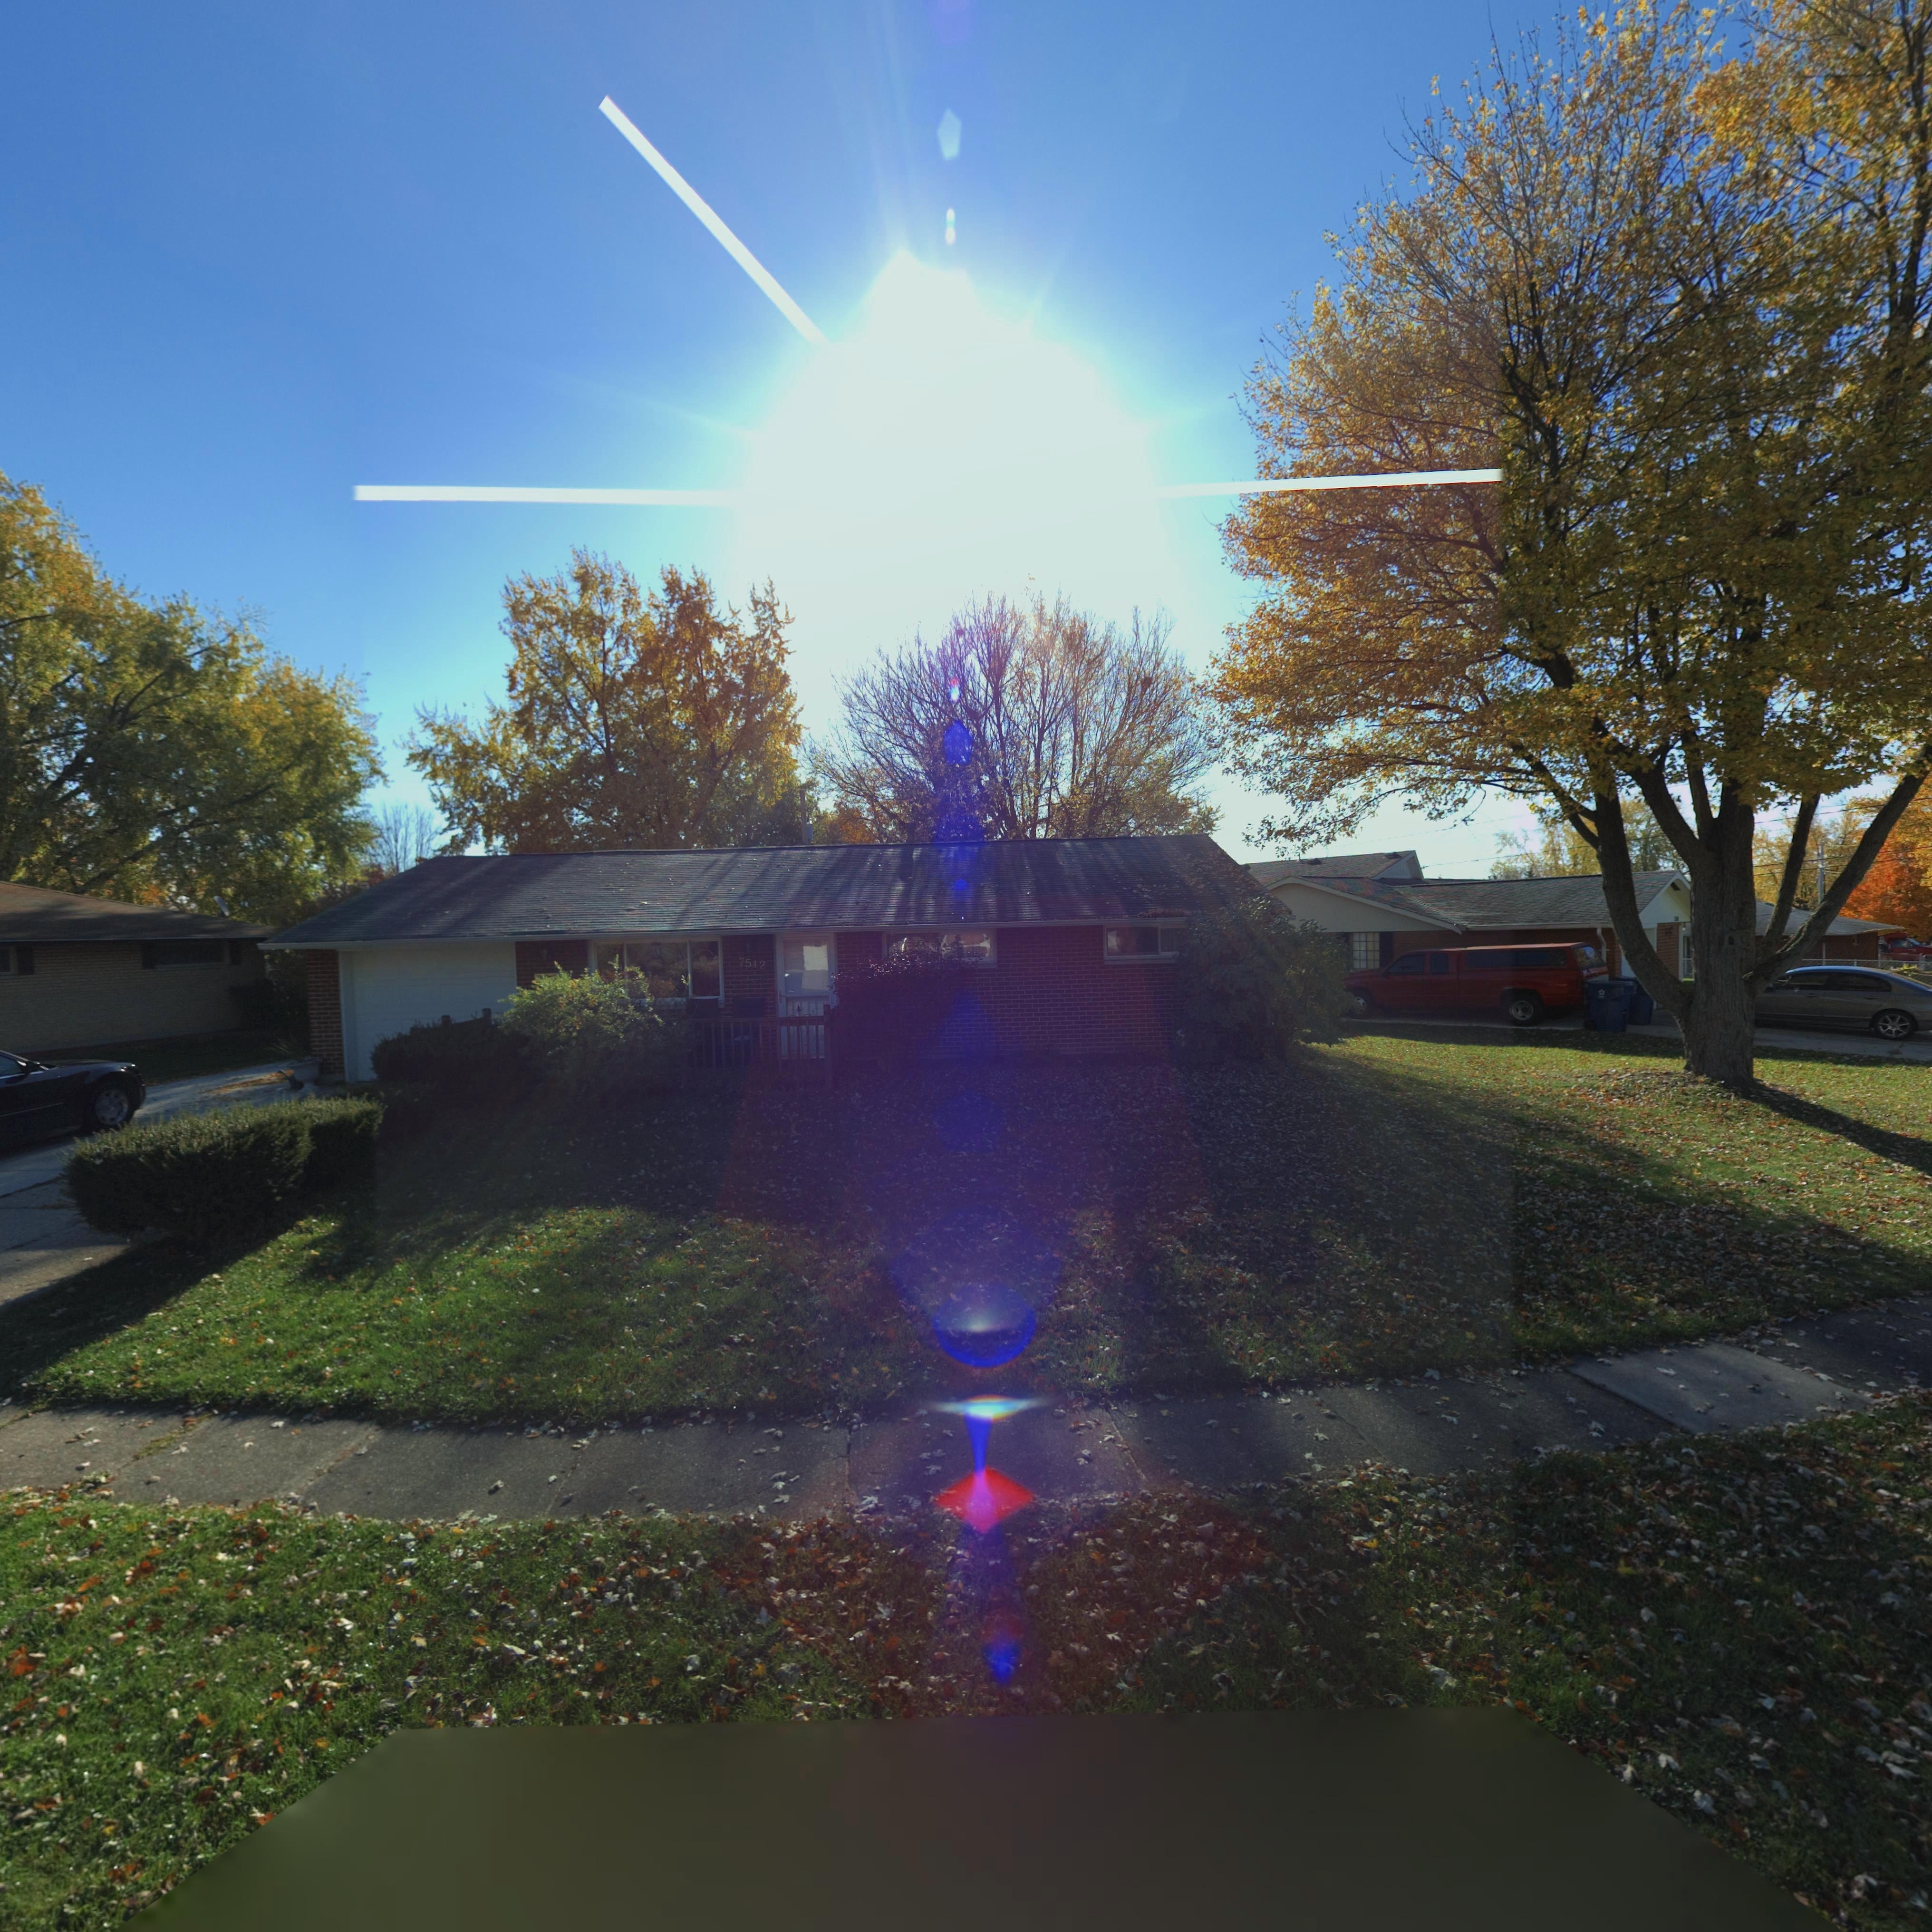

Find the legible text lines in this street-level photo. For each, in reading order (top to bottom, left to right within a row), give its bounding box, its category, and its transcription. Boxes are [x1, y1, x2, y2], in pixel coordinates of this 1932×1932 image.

[737, 956, 767, 971] StreetNumber: 7512